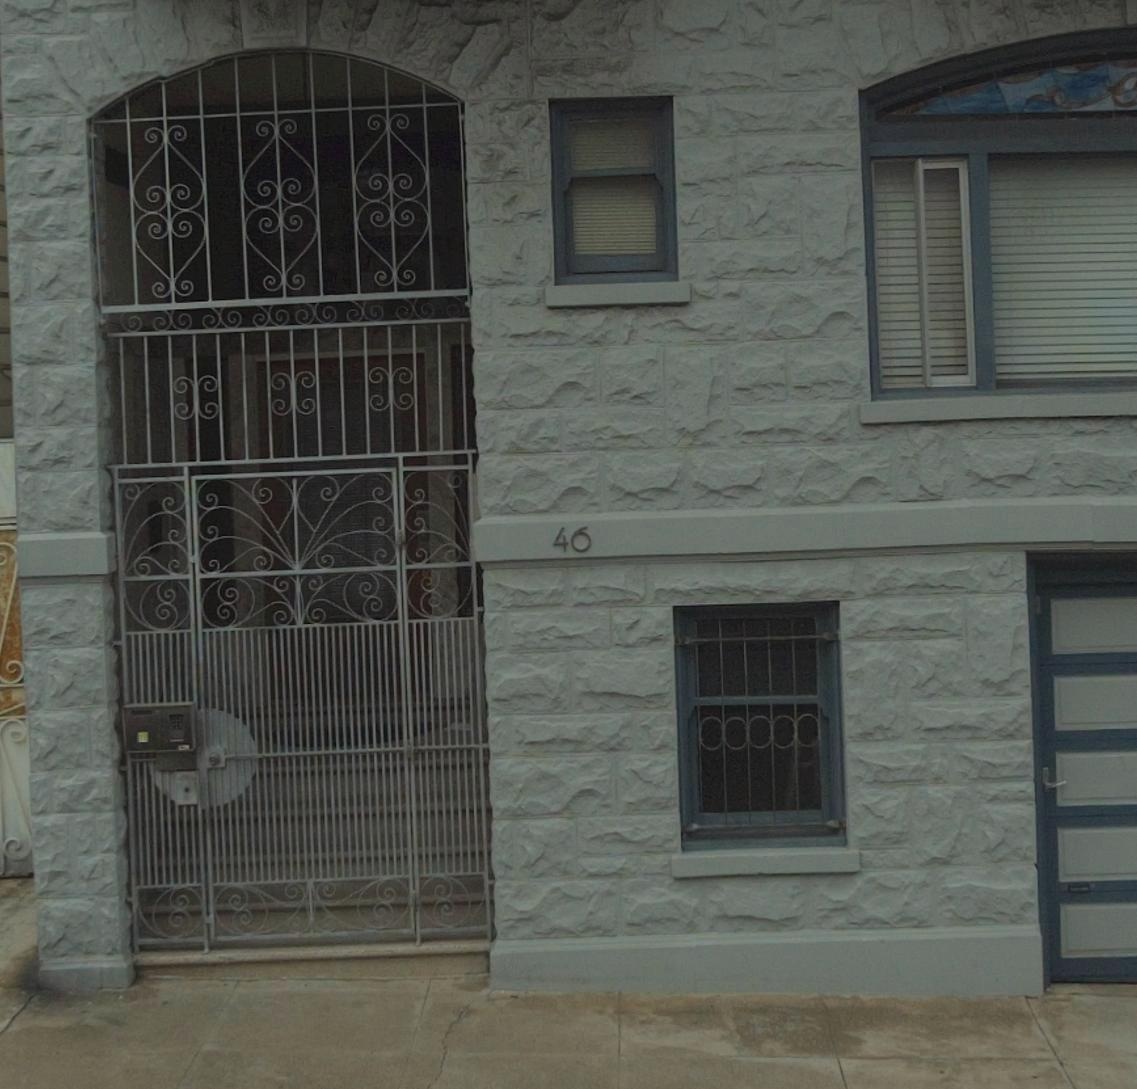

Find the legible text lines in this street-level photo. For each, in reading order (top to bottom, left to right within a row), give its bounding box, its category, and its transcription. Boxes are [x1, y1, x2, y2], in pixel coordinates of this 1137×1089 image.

[550, 524, 594, 554] StreetNumber: 46